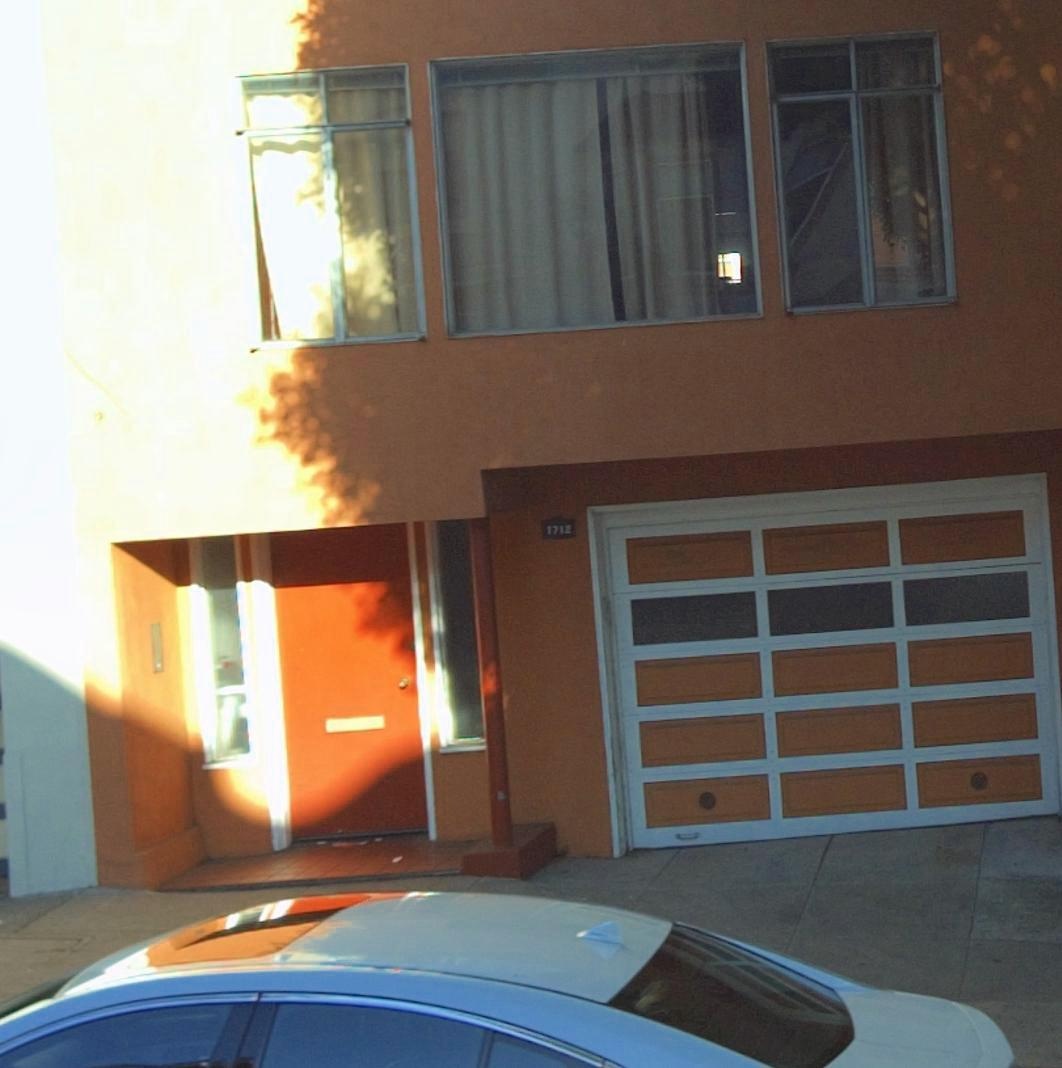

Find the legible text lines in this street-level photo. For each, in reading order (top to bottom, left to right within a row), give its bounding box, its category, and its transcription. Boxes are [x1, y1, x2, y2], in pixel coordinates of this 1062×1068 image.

[544, 523, 573, 536] StreetNumber: 1712